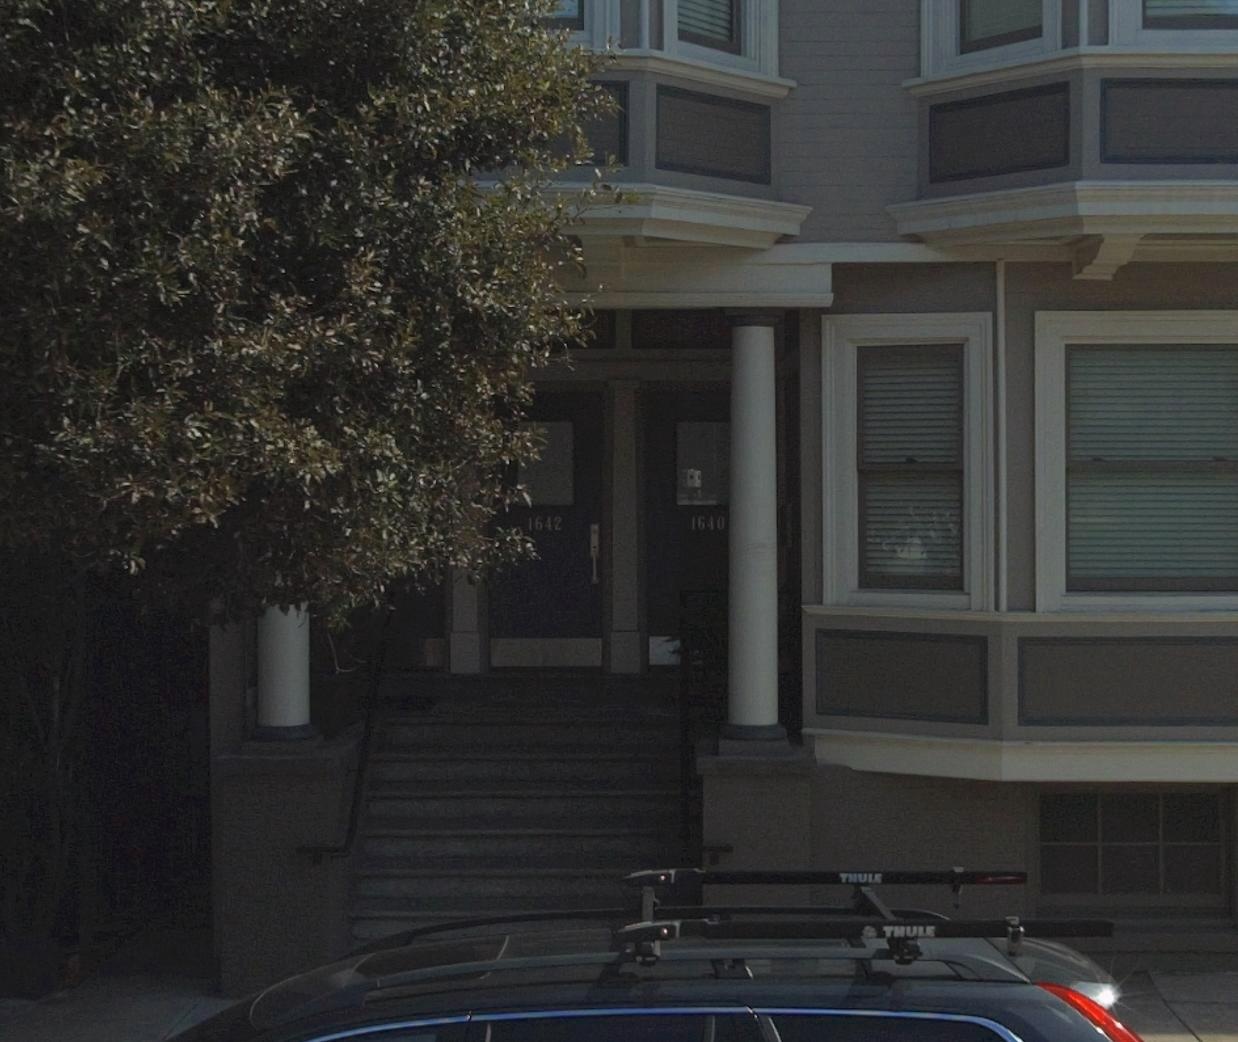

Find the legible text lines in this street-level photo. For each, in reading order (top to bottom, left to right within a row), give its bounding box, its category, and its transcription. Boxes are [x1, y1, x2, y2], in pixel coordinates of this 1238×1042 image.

[526, 513, 564, 533] StreetNumber: 1642
[690, 514, 726, 533] StreetNumber: 1640
[835, 871, 884, 885] None: THULE
[880, 924, 937, 939] None: THULE